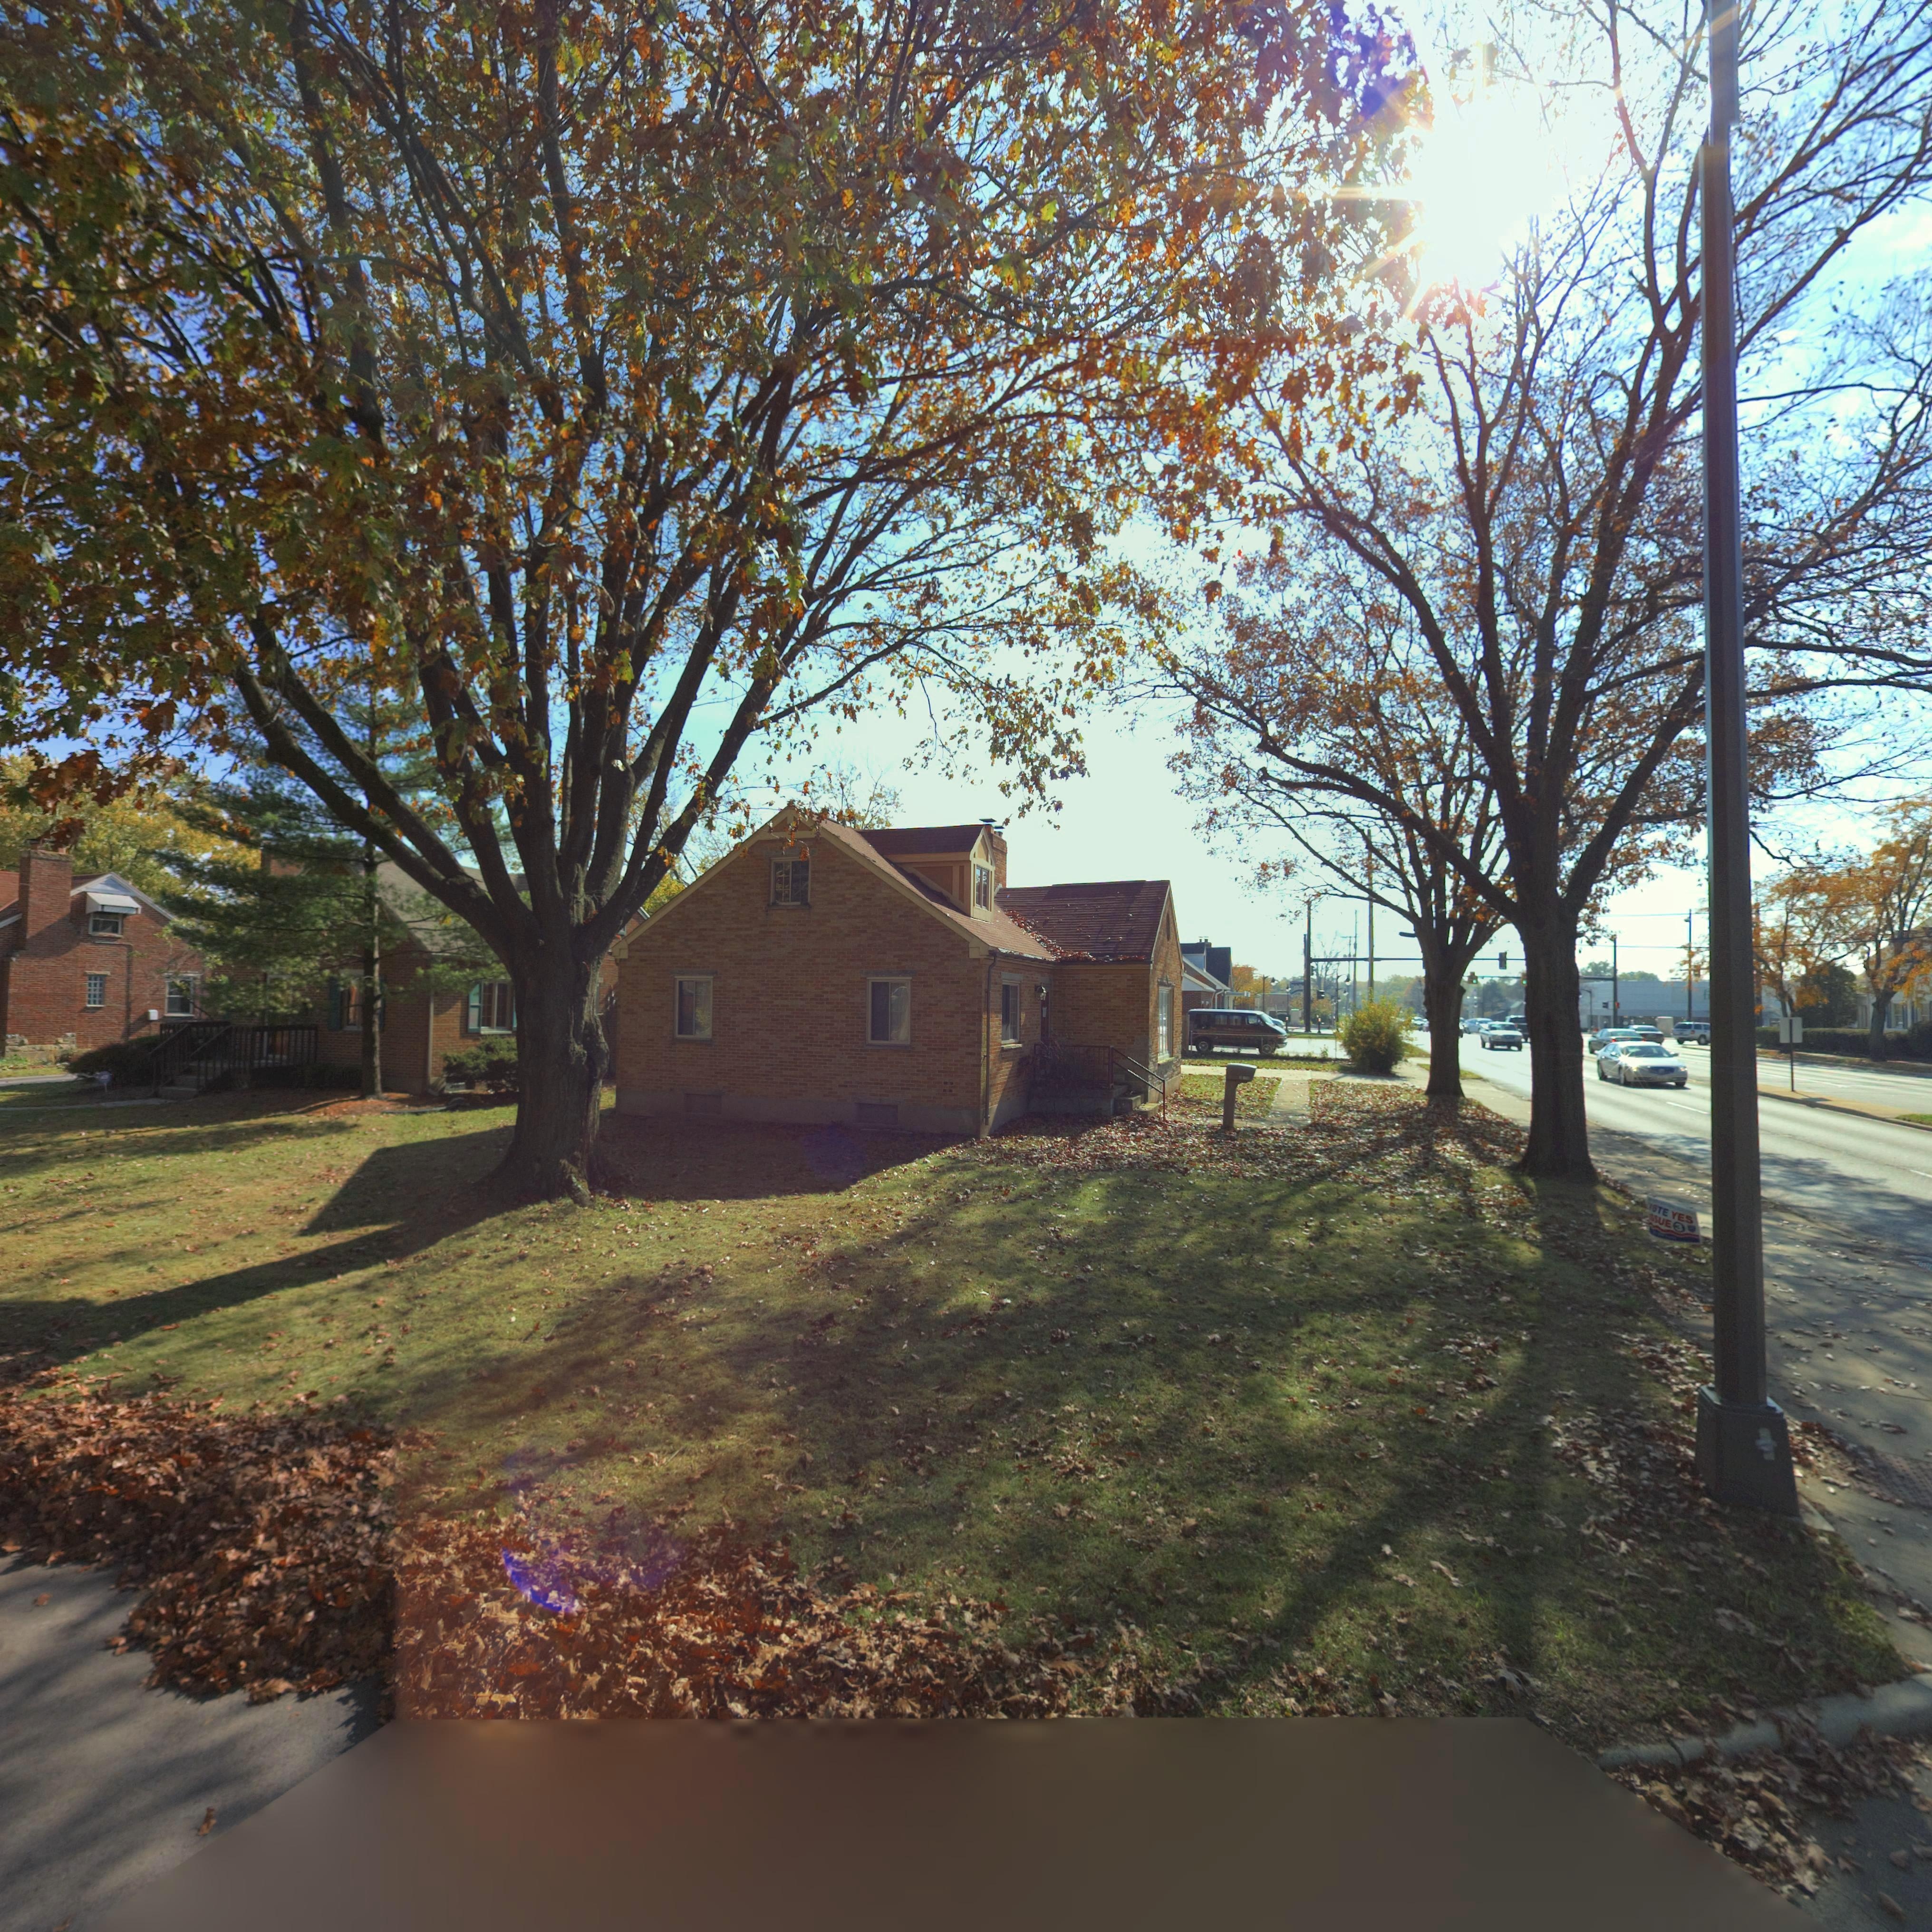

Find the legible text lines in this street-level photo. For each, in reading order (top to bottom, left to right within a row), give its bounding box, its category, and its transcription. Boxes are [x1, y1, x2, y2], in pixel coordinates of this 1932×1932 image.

[1652, 1214, 1683, 1233] None: SUE 3
[1657, 1205, 1694, 1225] None: TE YES